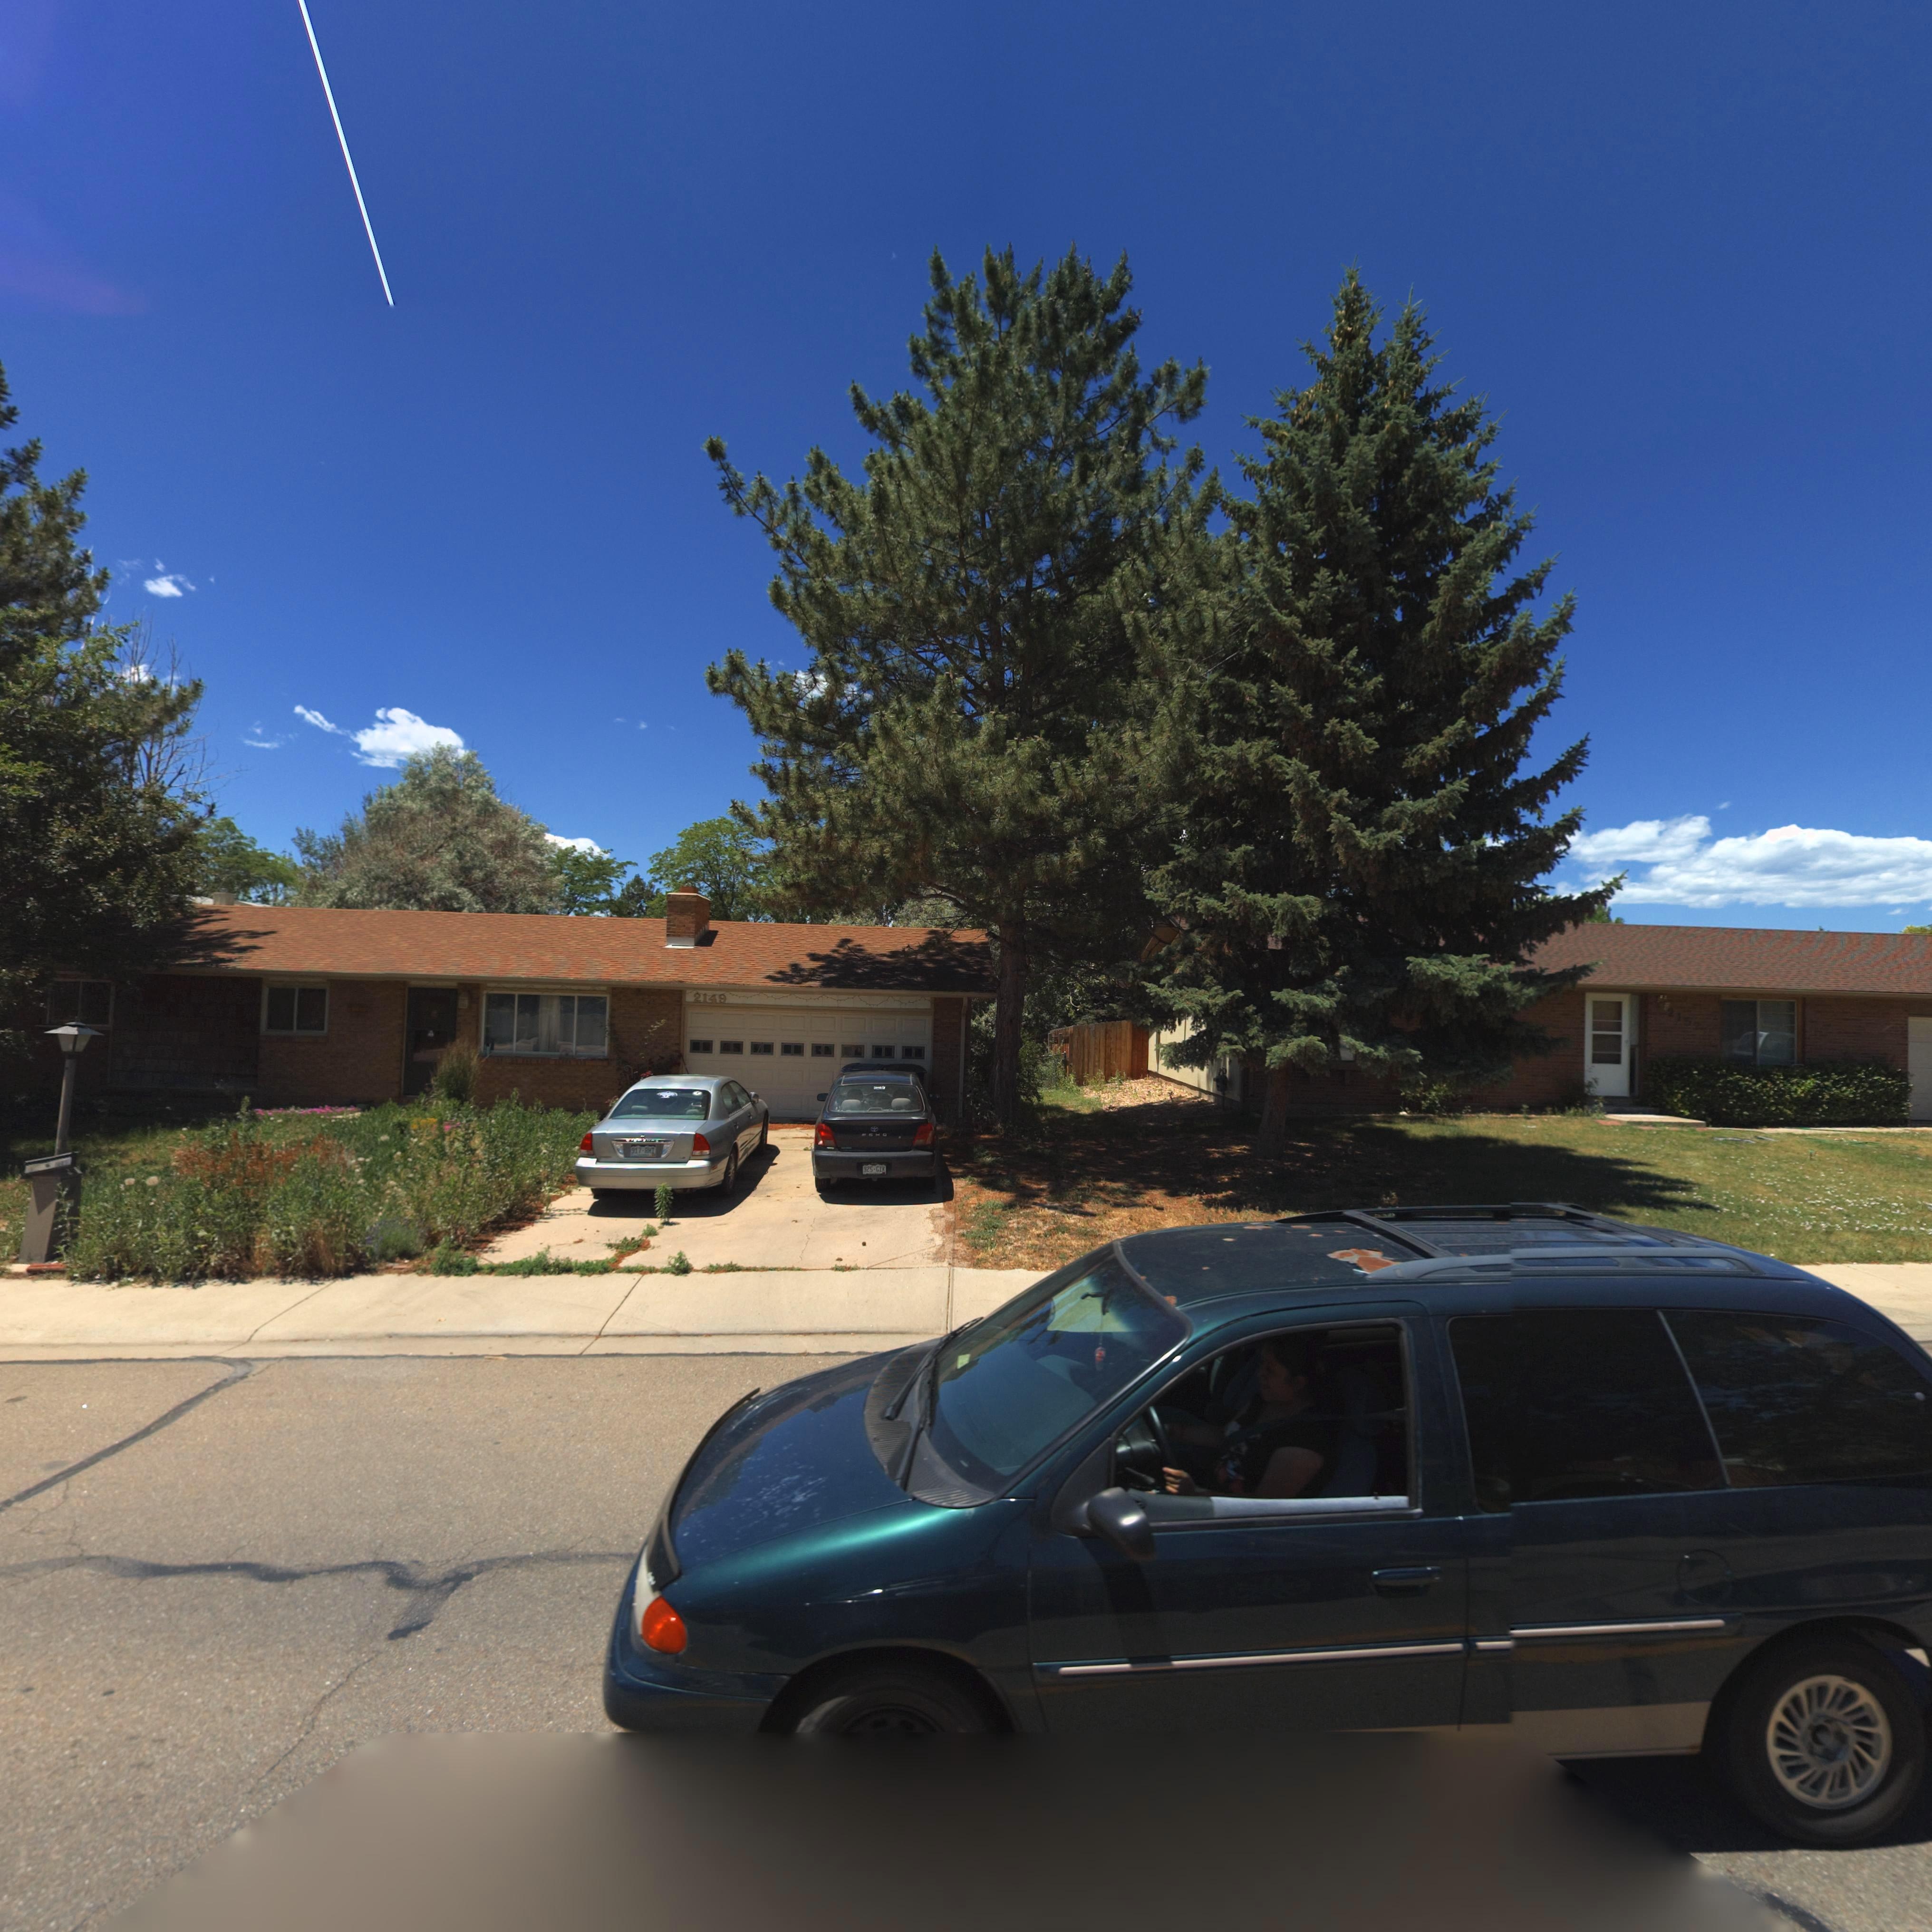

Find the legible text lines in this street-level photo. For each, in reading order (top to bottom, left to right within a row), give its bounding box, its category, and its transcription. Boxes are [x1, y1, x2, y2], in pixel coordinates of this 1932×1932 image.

[690, 991, 729, 1005] StreetNumber: 2149